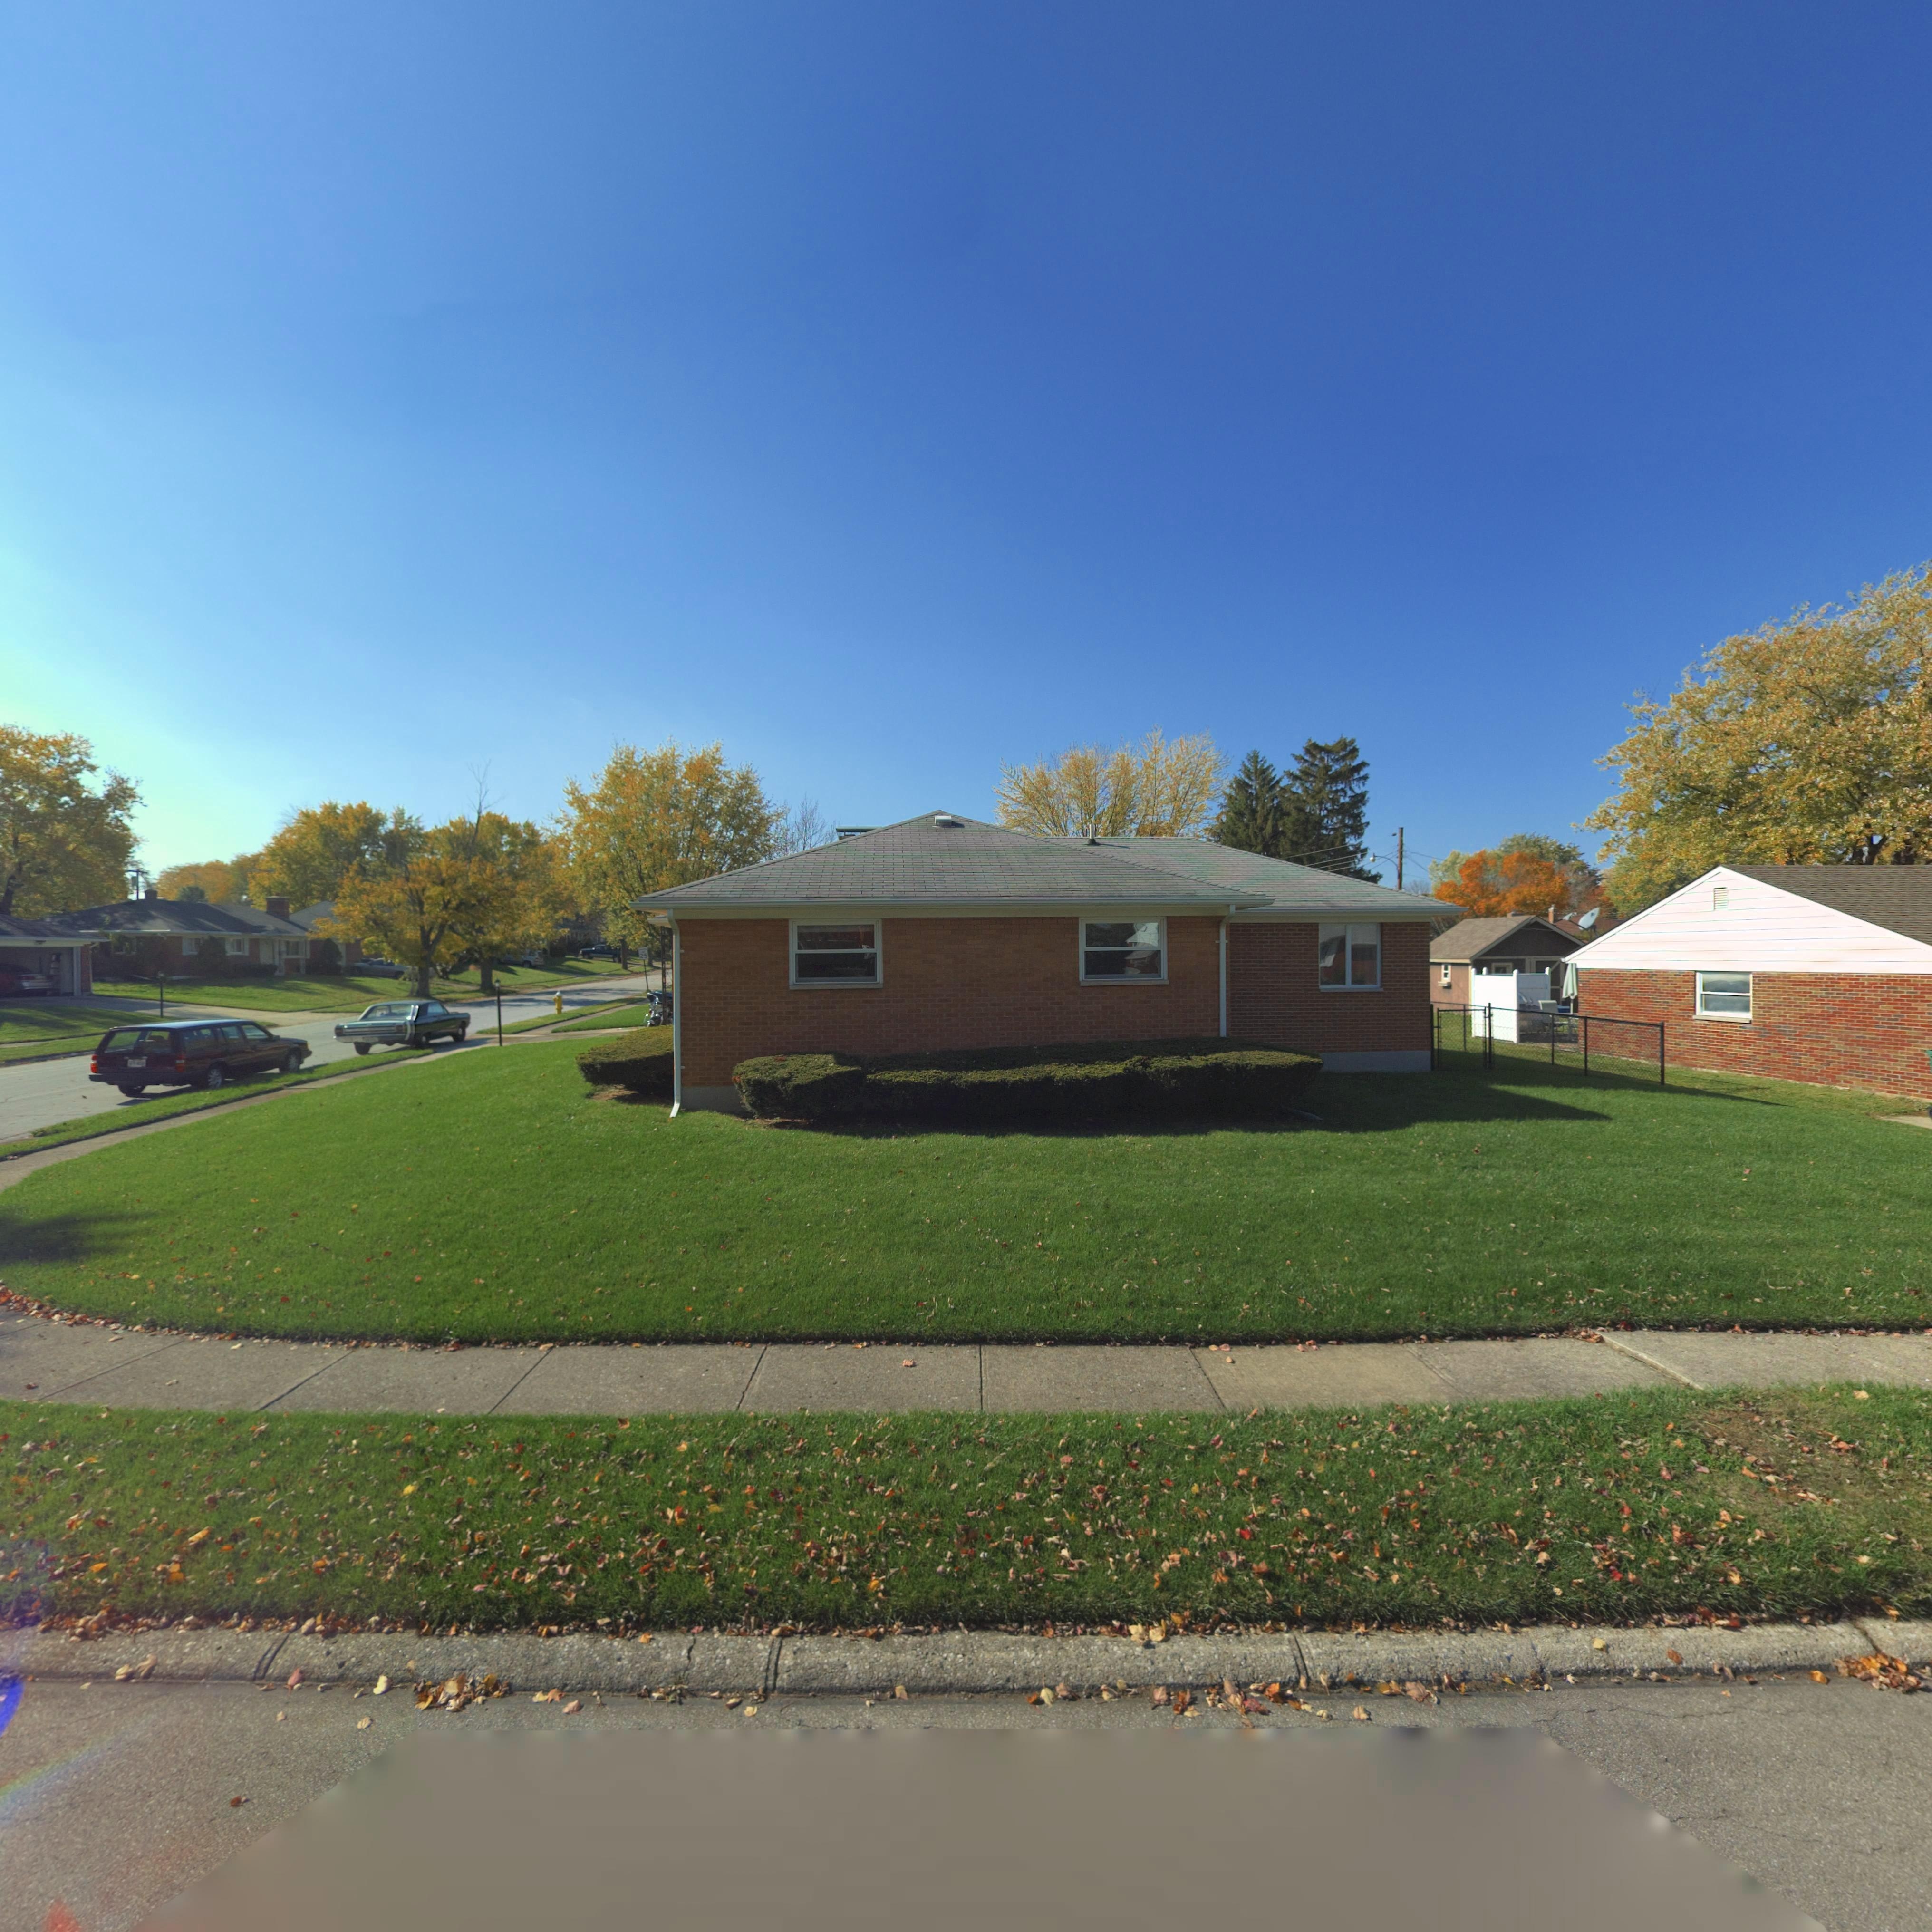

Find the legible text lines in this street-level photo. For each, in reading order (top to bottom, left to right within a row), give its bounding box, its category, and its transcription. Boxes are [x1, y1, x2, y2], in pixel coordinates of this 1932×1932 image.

[639, 953, 648, 959] None: 25